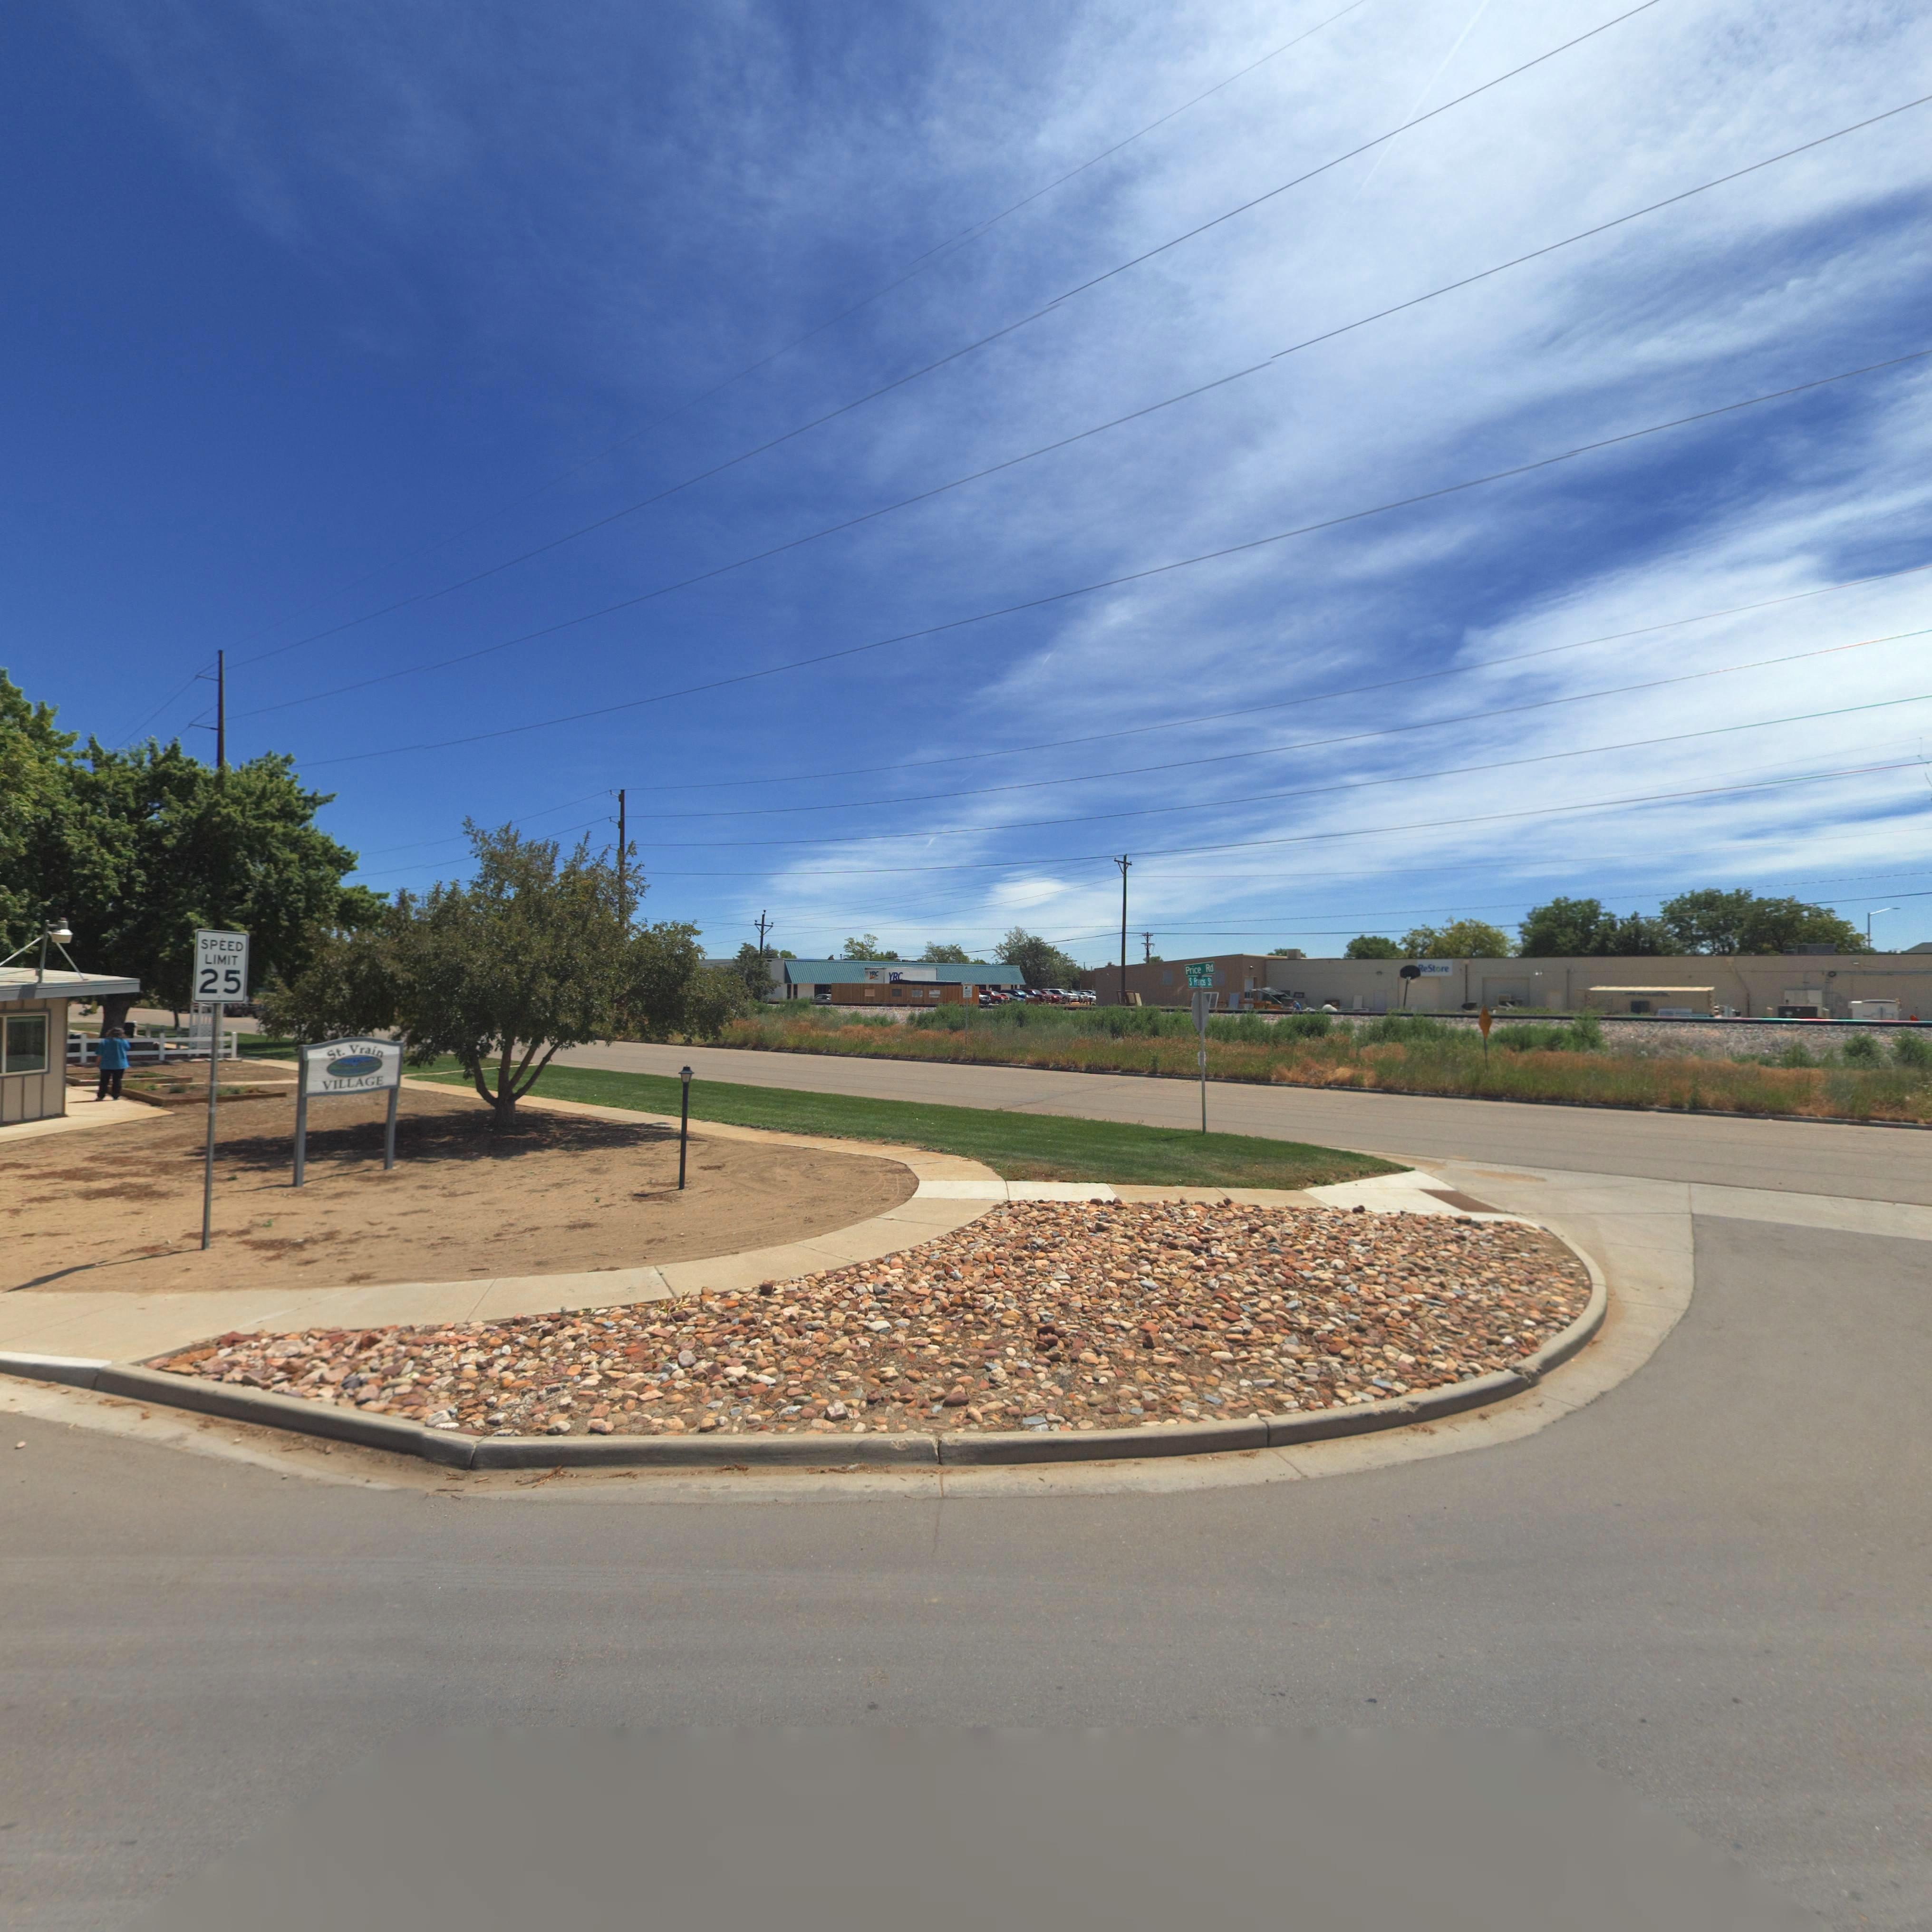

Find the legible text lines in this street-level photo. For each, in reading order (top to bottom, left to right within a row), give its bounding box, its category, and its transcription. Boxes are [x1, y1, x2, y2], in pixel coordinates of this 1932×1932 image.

[1184, 963, 1214, 975] StreetName: Price Rd
[1188, 976, 1212, 986] StreetName: S Francis St